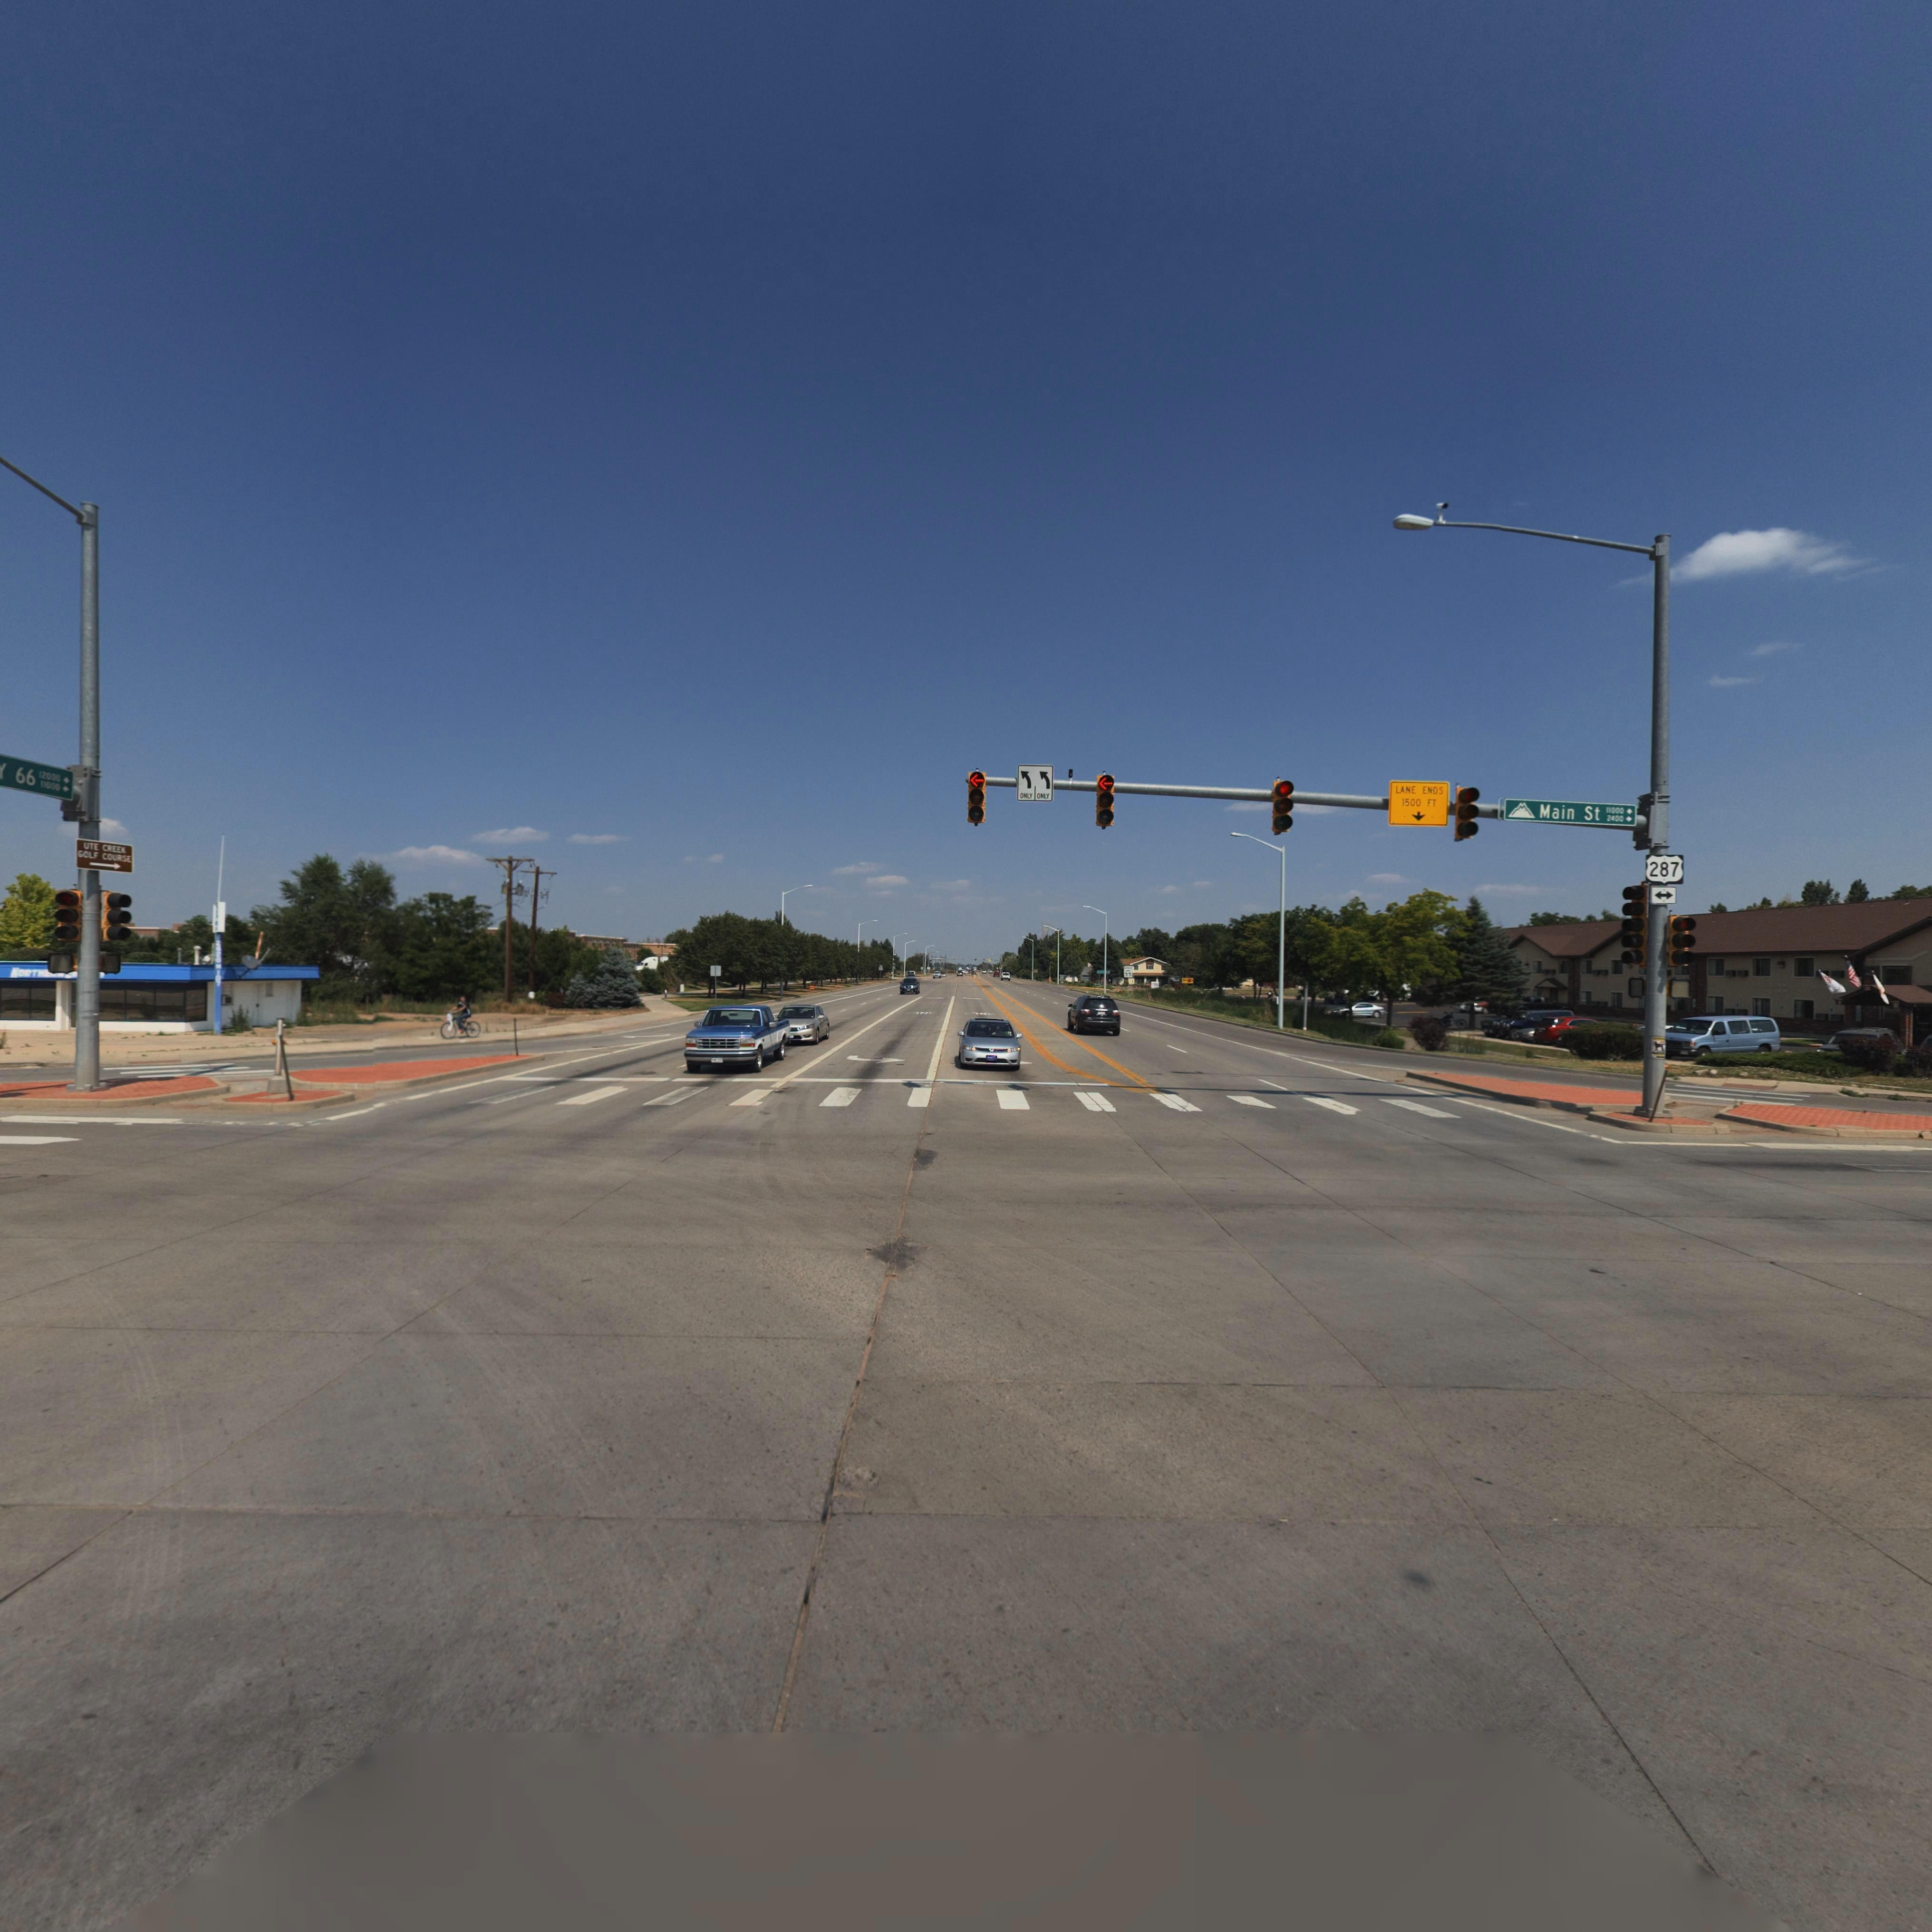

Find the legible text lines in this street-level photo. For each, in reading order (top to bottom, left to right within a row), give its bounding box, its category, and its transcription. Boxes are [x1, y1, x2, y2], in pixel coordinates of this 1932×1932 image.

[15, 766, 37, 786] StreetName: 66
[39, 770, 61, 782] StreetNumberRange: 12000
[39, 780, 70, 792] StreetName: 11000->
[1605, 806, 1625, 814] StreetNumberRange: 11000
[1606, 814, 1633, 822] StreetNumberRange: 2400->
[9, 967, 46, 978] BusinessName: NORTH